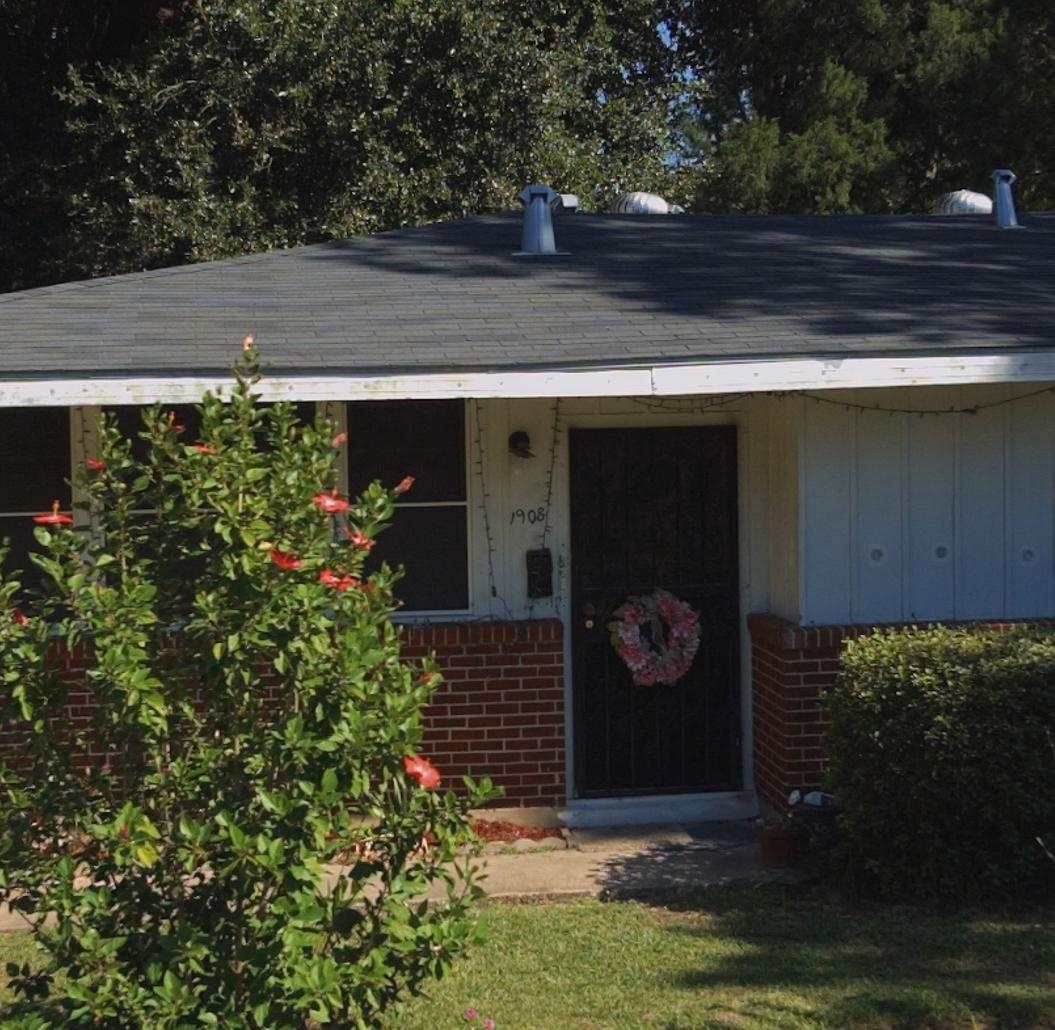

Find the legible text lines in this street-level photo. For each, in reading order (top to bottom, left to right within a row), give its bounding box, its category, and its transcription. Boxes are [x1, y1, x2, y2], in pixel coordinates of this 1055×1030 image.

[508, 506, 546, 526] StreetNumber: 1908